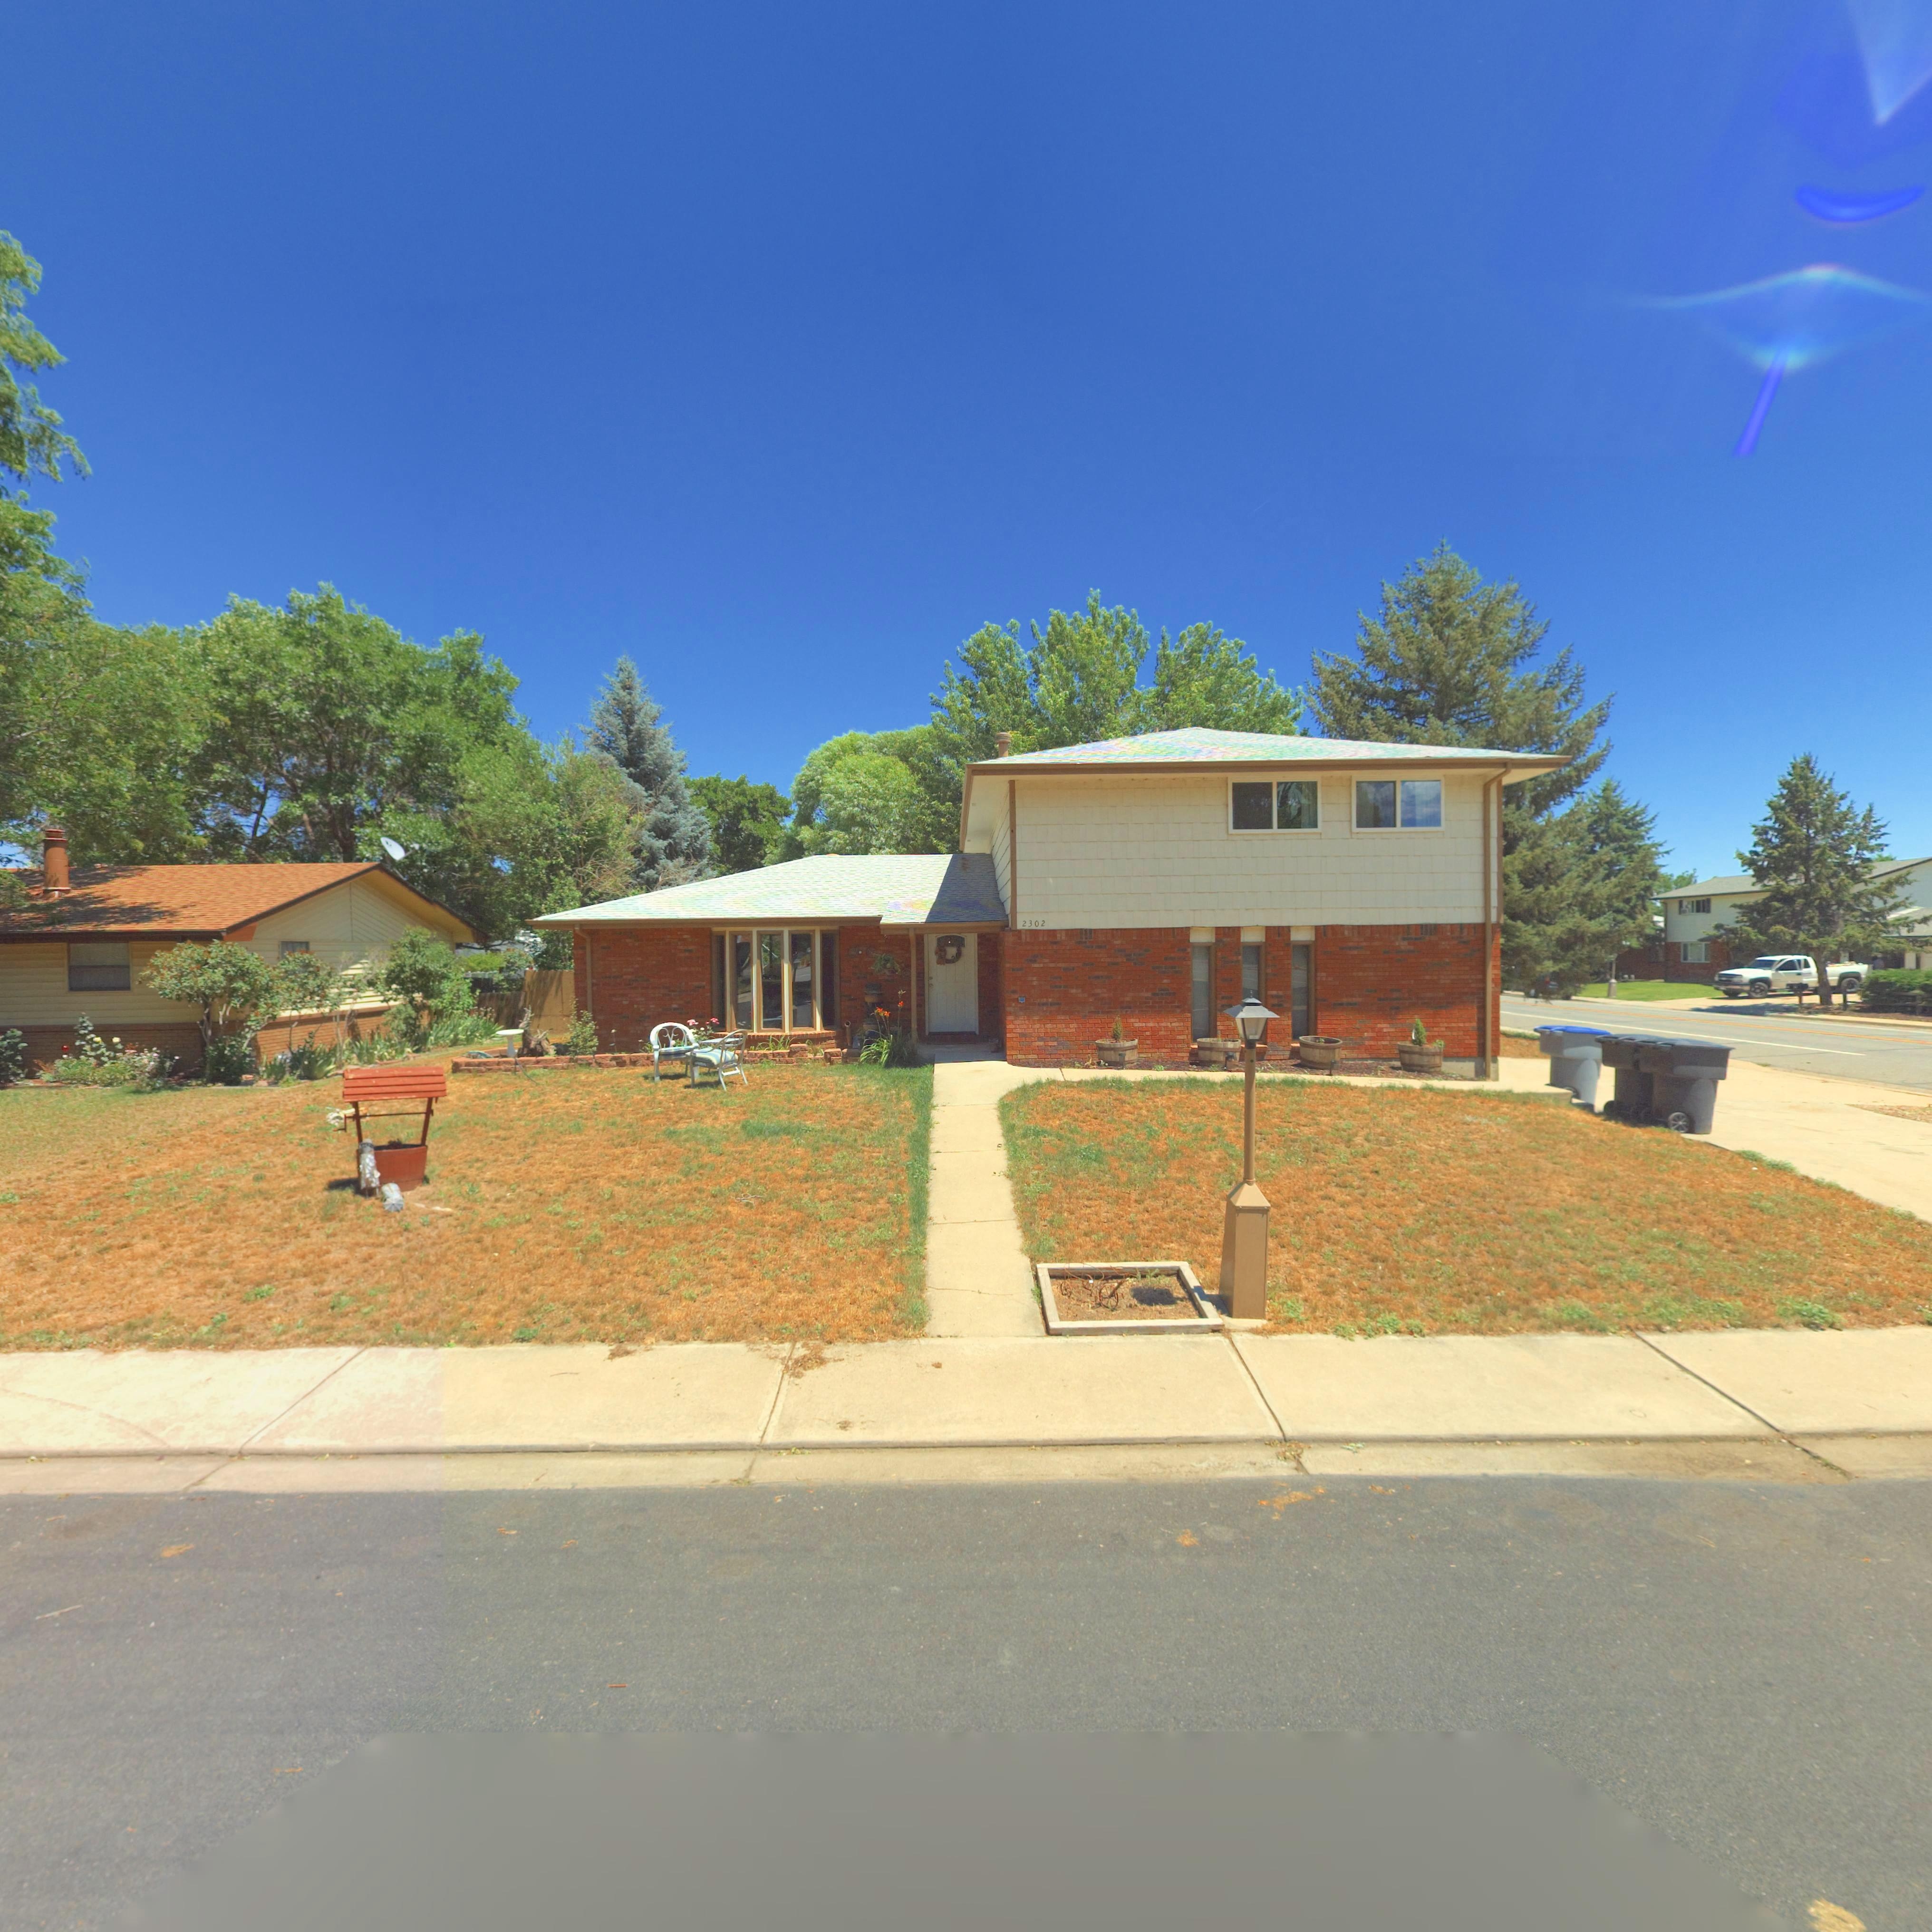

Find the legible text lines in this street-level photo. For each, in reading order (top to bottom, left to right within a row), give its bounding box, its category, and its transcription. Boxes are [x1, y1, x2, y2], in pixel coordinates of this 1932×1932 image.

[1022, 919, 1045, 927] StreetNumber: 2302